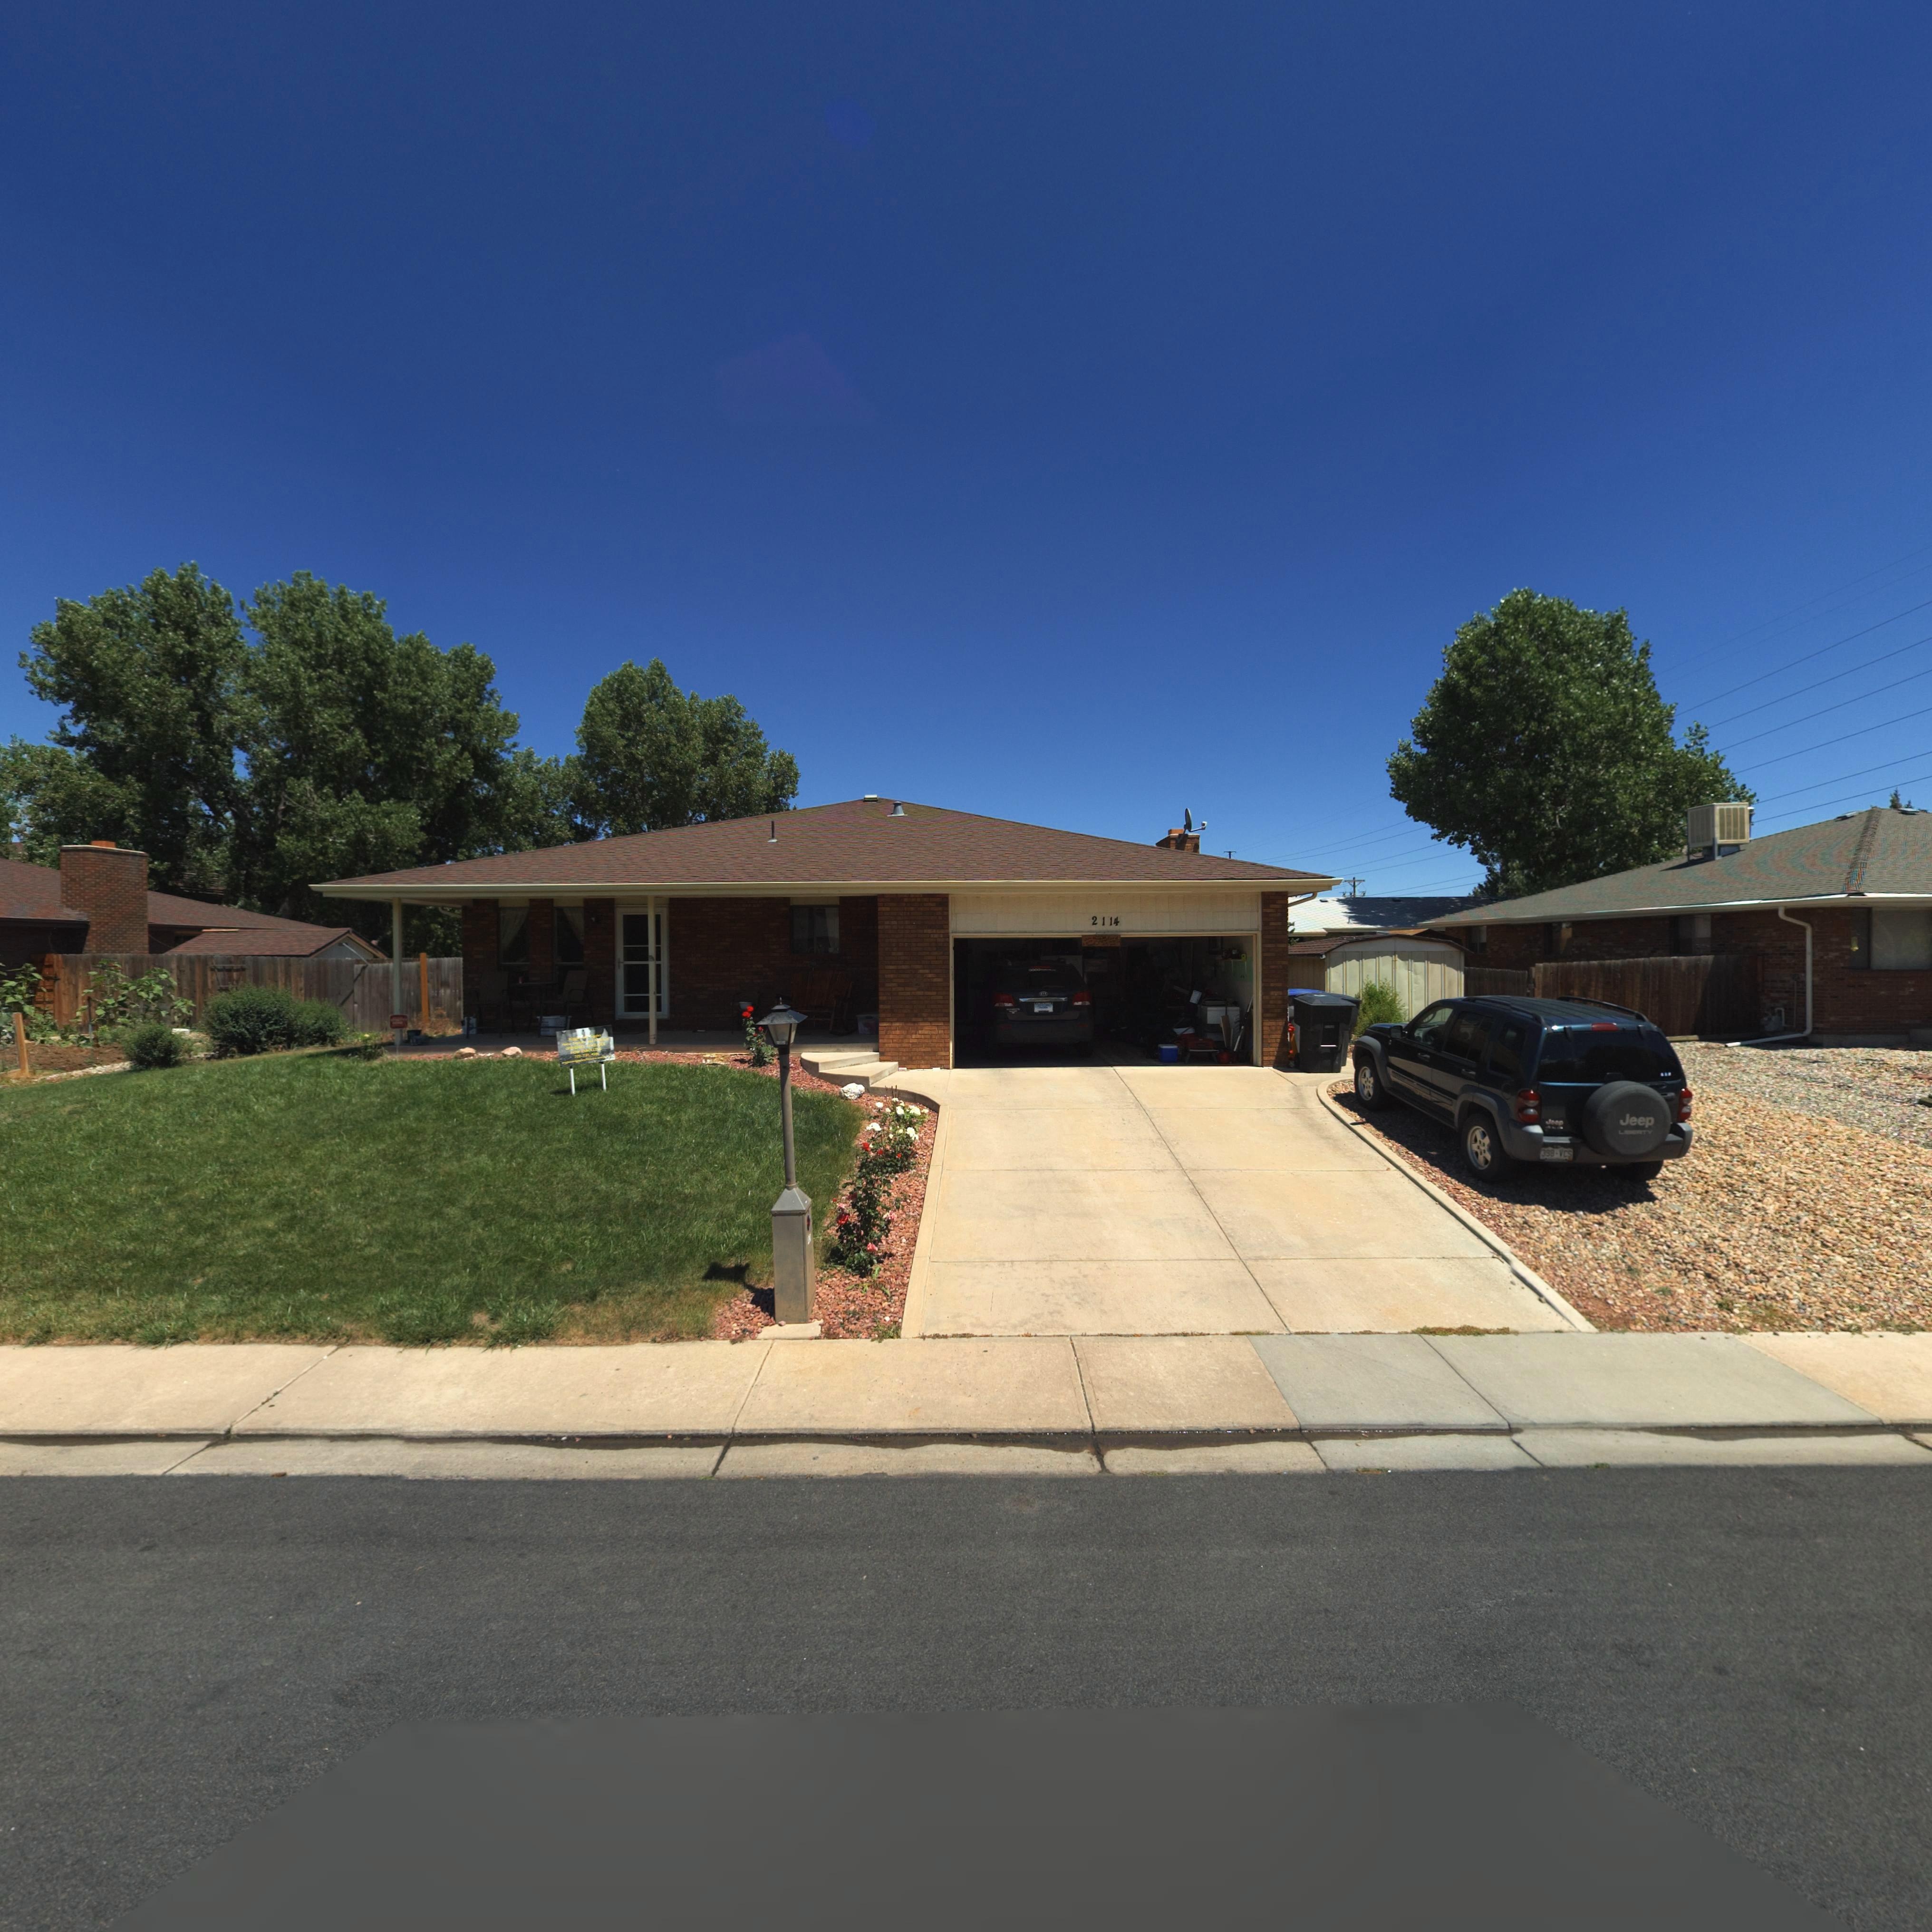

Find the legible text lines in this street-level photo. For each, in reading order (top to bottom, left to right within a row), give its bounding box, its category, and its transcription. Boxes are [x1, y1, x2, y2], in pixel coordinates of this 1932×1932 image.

[1092, 916, 1120, 926] StreetNumber: 2114